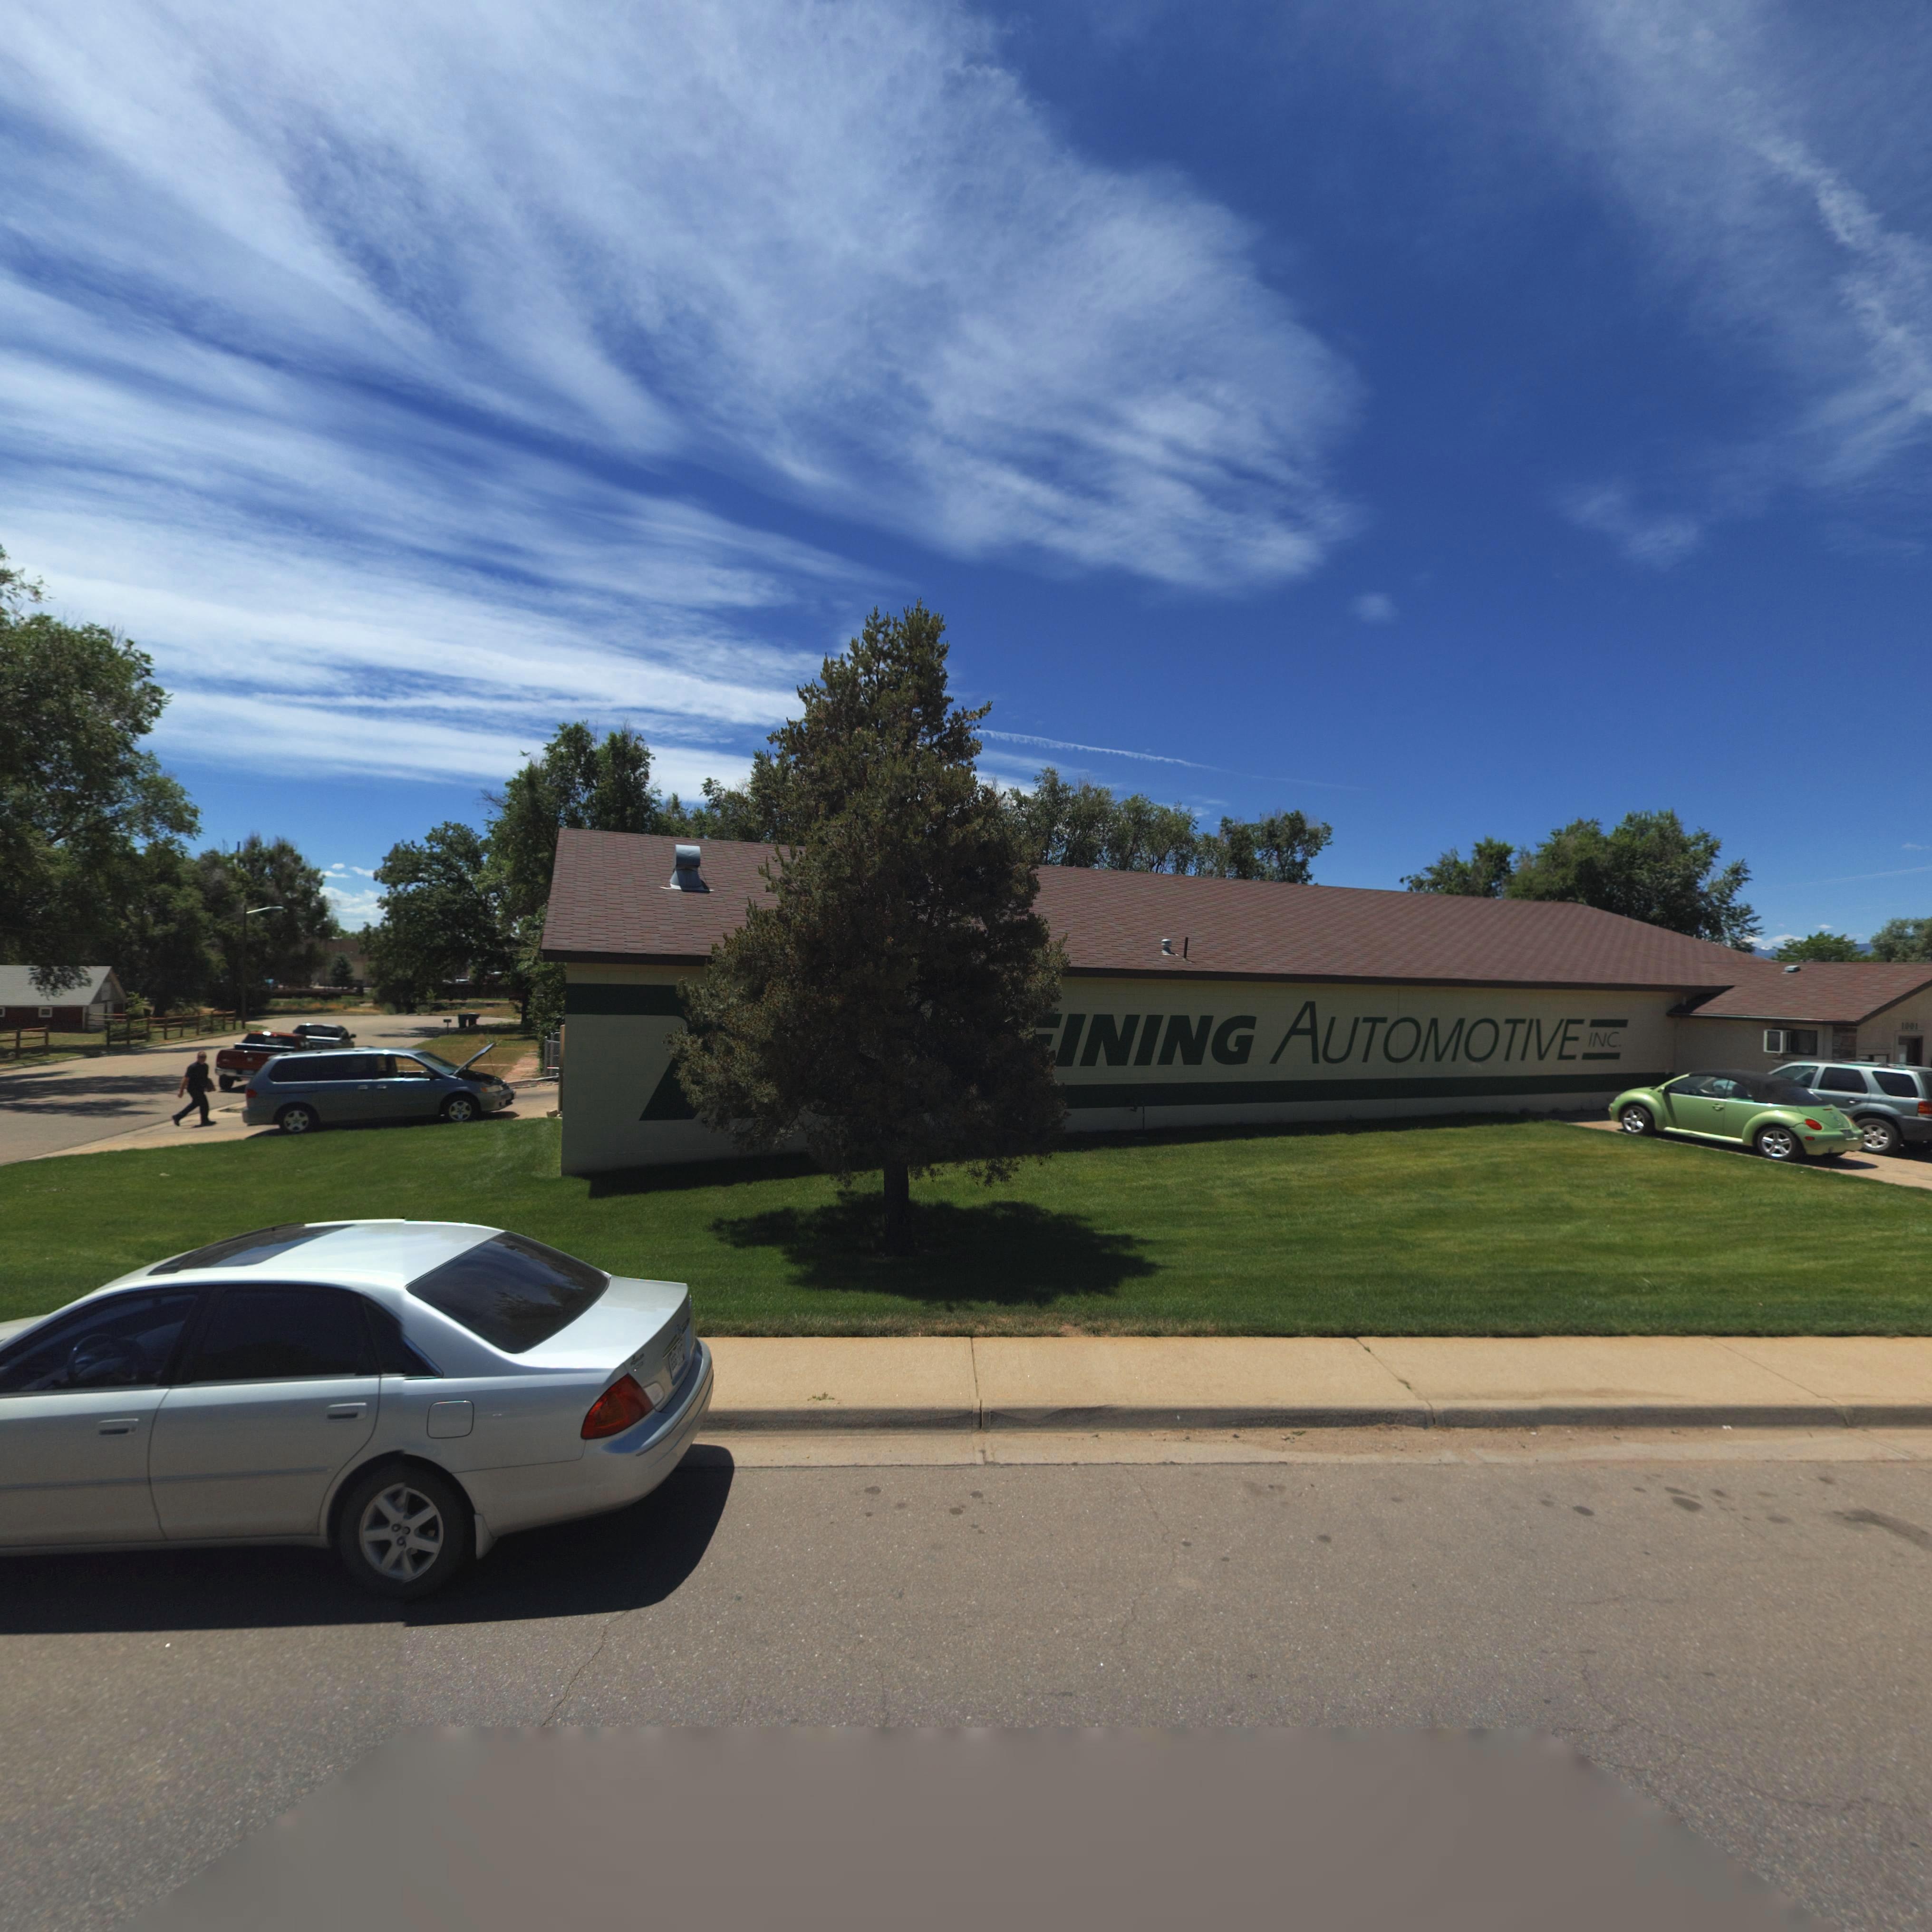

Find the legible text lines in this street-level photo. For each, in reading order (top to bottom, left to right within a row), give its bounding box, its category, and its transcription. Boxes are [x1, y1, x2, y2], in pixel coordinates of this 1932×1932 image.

[1049, 1000, 1623, 1068] BusinessName: INING AUTOMOTIVE INC.
[1901, 1022, 1919, 1029] StreetNumber: 1001